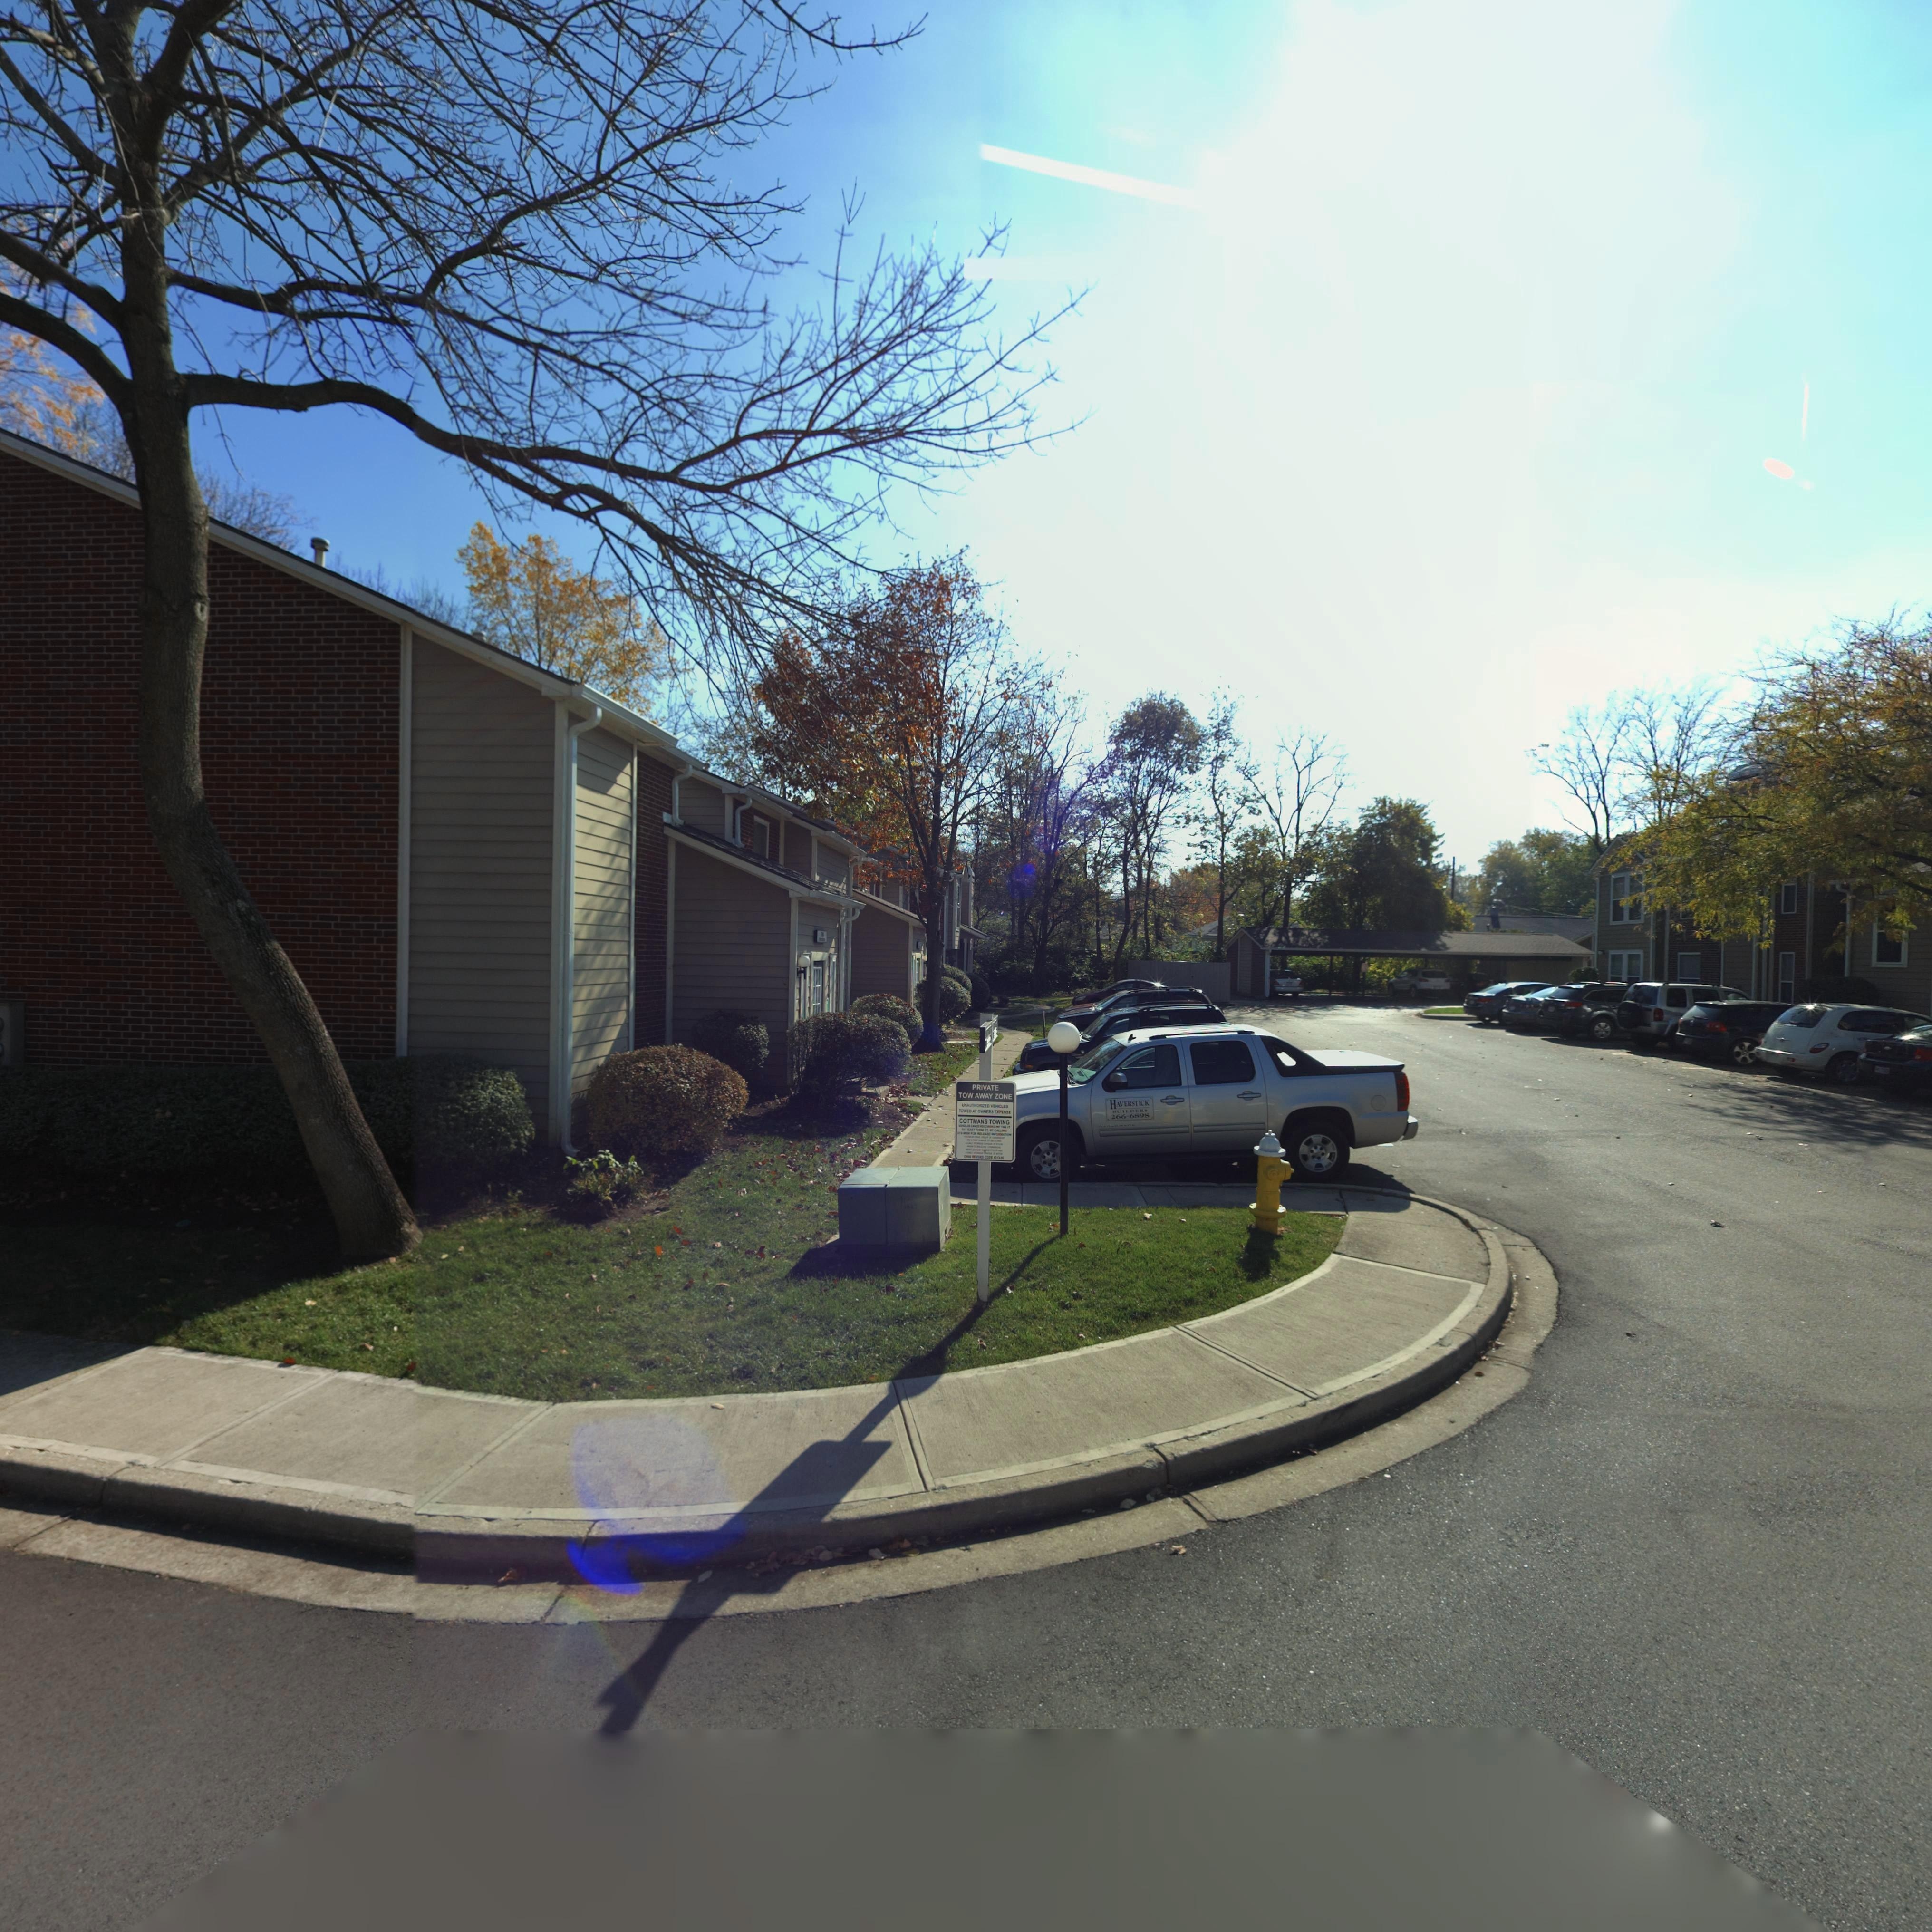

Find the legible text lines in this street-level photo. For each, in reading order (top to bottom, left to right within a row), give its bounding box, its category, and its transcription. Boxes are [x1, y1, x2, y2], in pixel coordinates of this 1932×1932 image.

[971, 1082, 1001, 1092] None: PRIVATE
[957, 1091, 1014, 1101] None: TOW AWAY ZONE
[1108, 1098, 1151, 1111] None: HAVERSTICK
[1111, 1107, 1149, 1115] None: BUILDERS
[1110, 1111, 1151, 1121] None: 266-6898
[958, 1117, 1011, 1126] None: COTTMANS TOWING